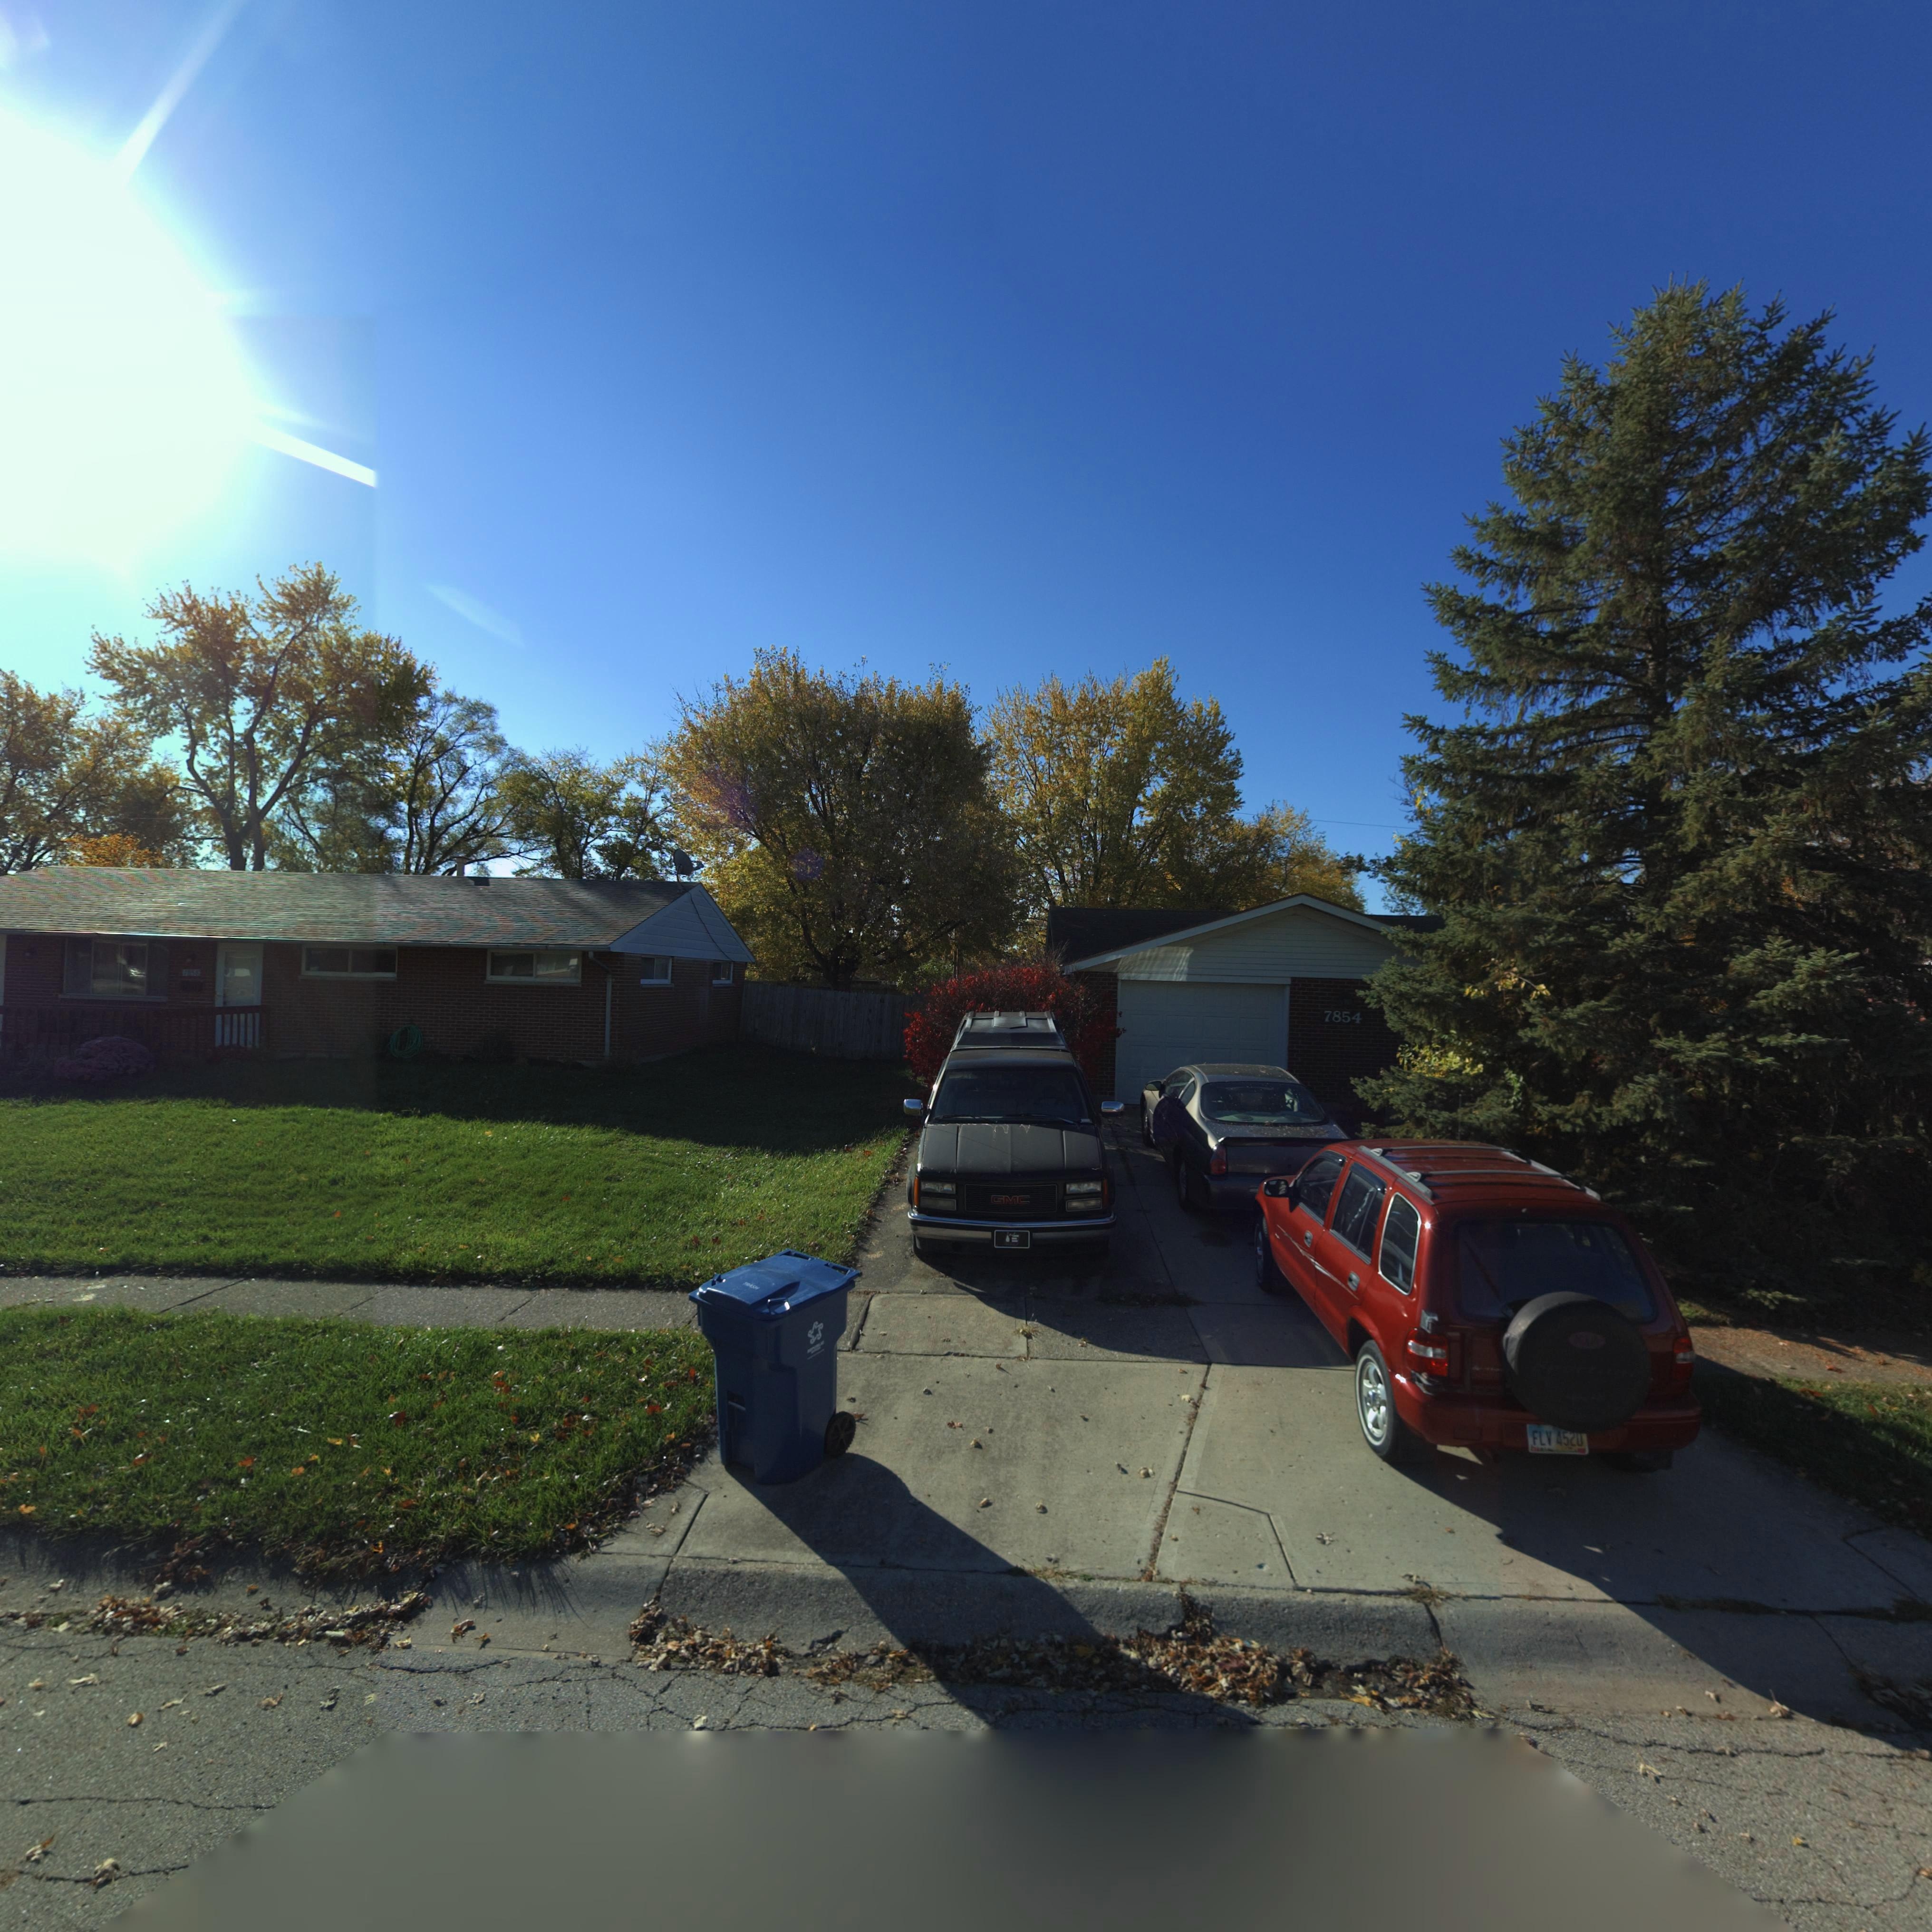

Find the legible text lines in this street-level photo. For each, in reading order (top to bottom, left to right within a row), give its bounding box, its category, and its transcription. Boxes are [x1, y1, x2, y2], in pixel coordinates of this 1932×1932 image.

[184, 969, 201, 976] StreetNumber: 7858
[1323, 1010, 1362, 1024] StreetNumber: 7854